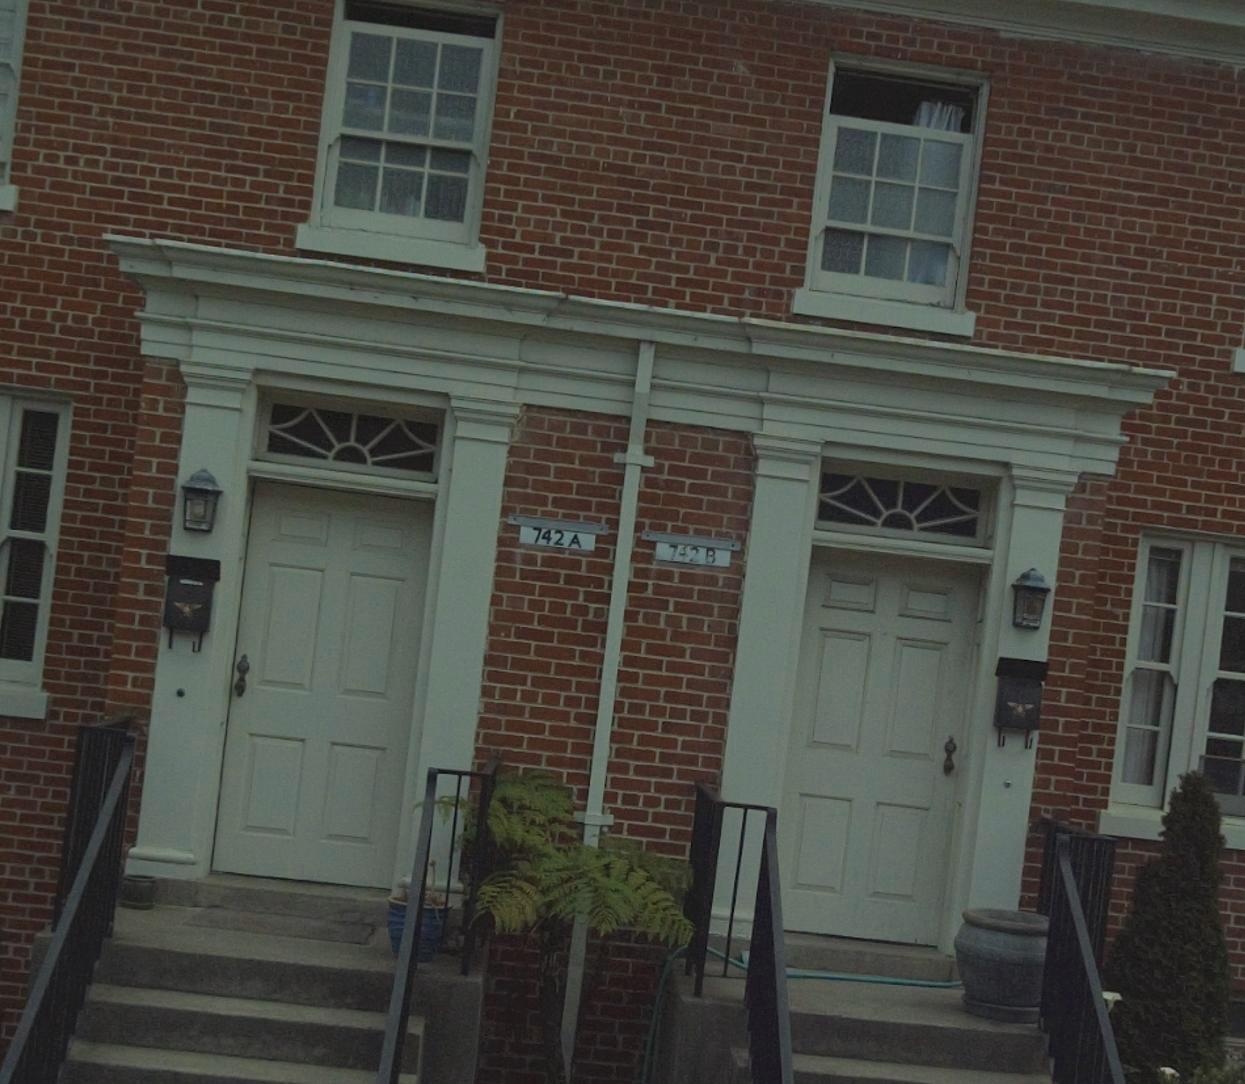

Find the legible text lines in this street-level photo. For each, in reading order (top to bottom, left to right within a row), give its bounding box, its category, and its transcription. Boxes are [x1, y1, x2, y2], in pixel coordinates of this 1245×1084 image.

[532, 526, 583, 550] StreetNumber: 742 A
[668, 543, 718, 567] StreetNumber: 742 B